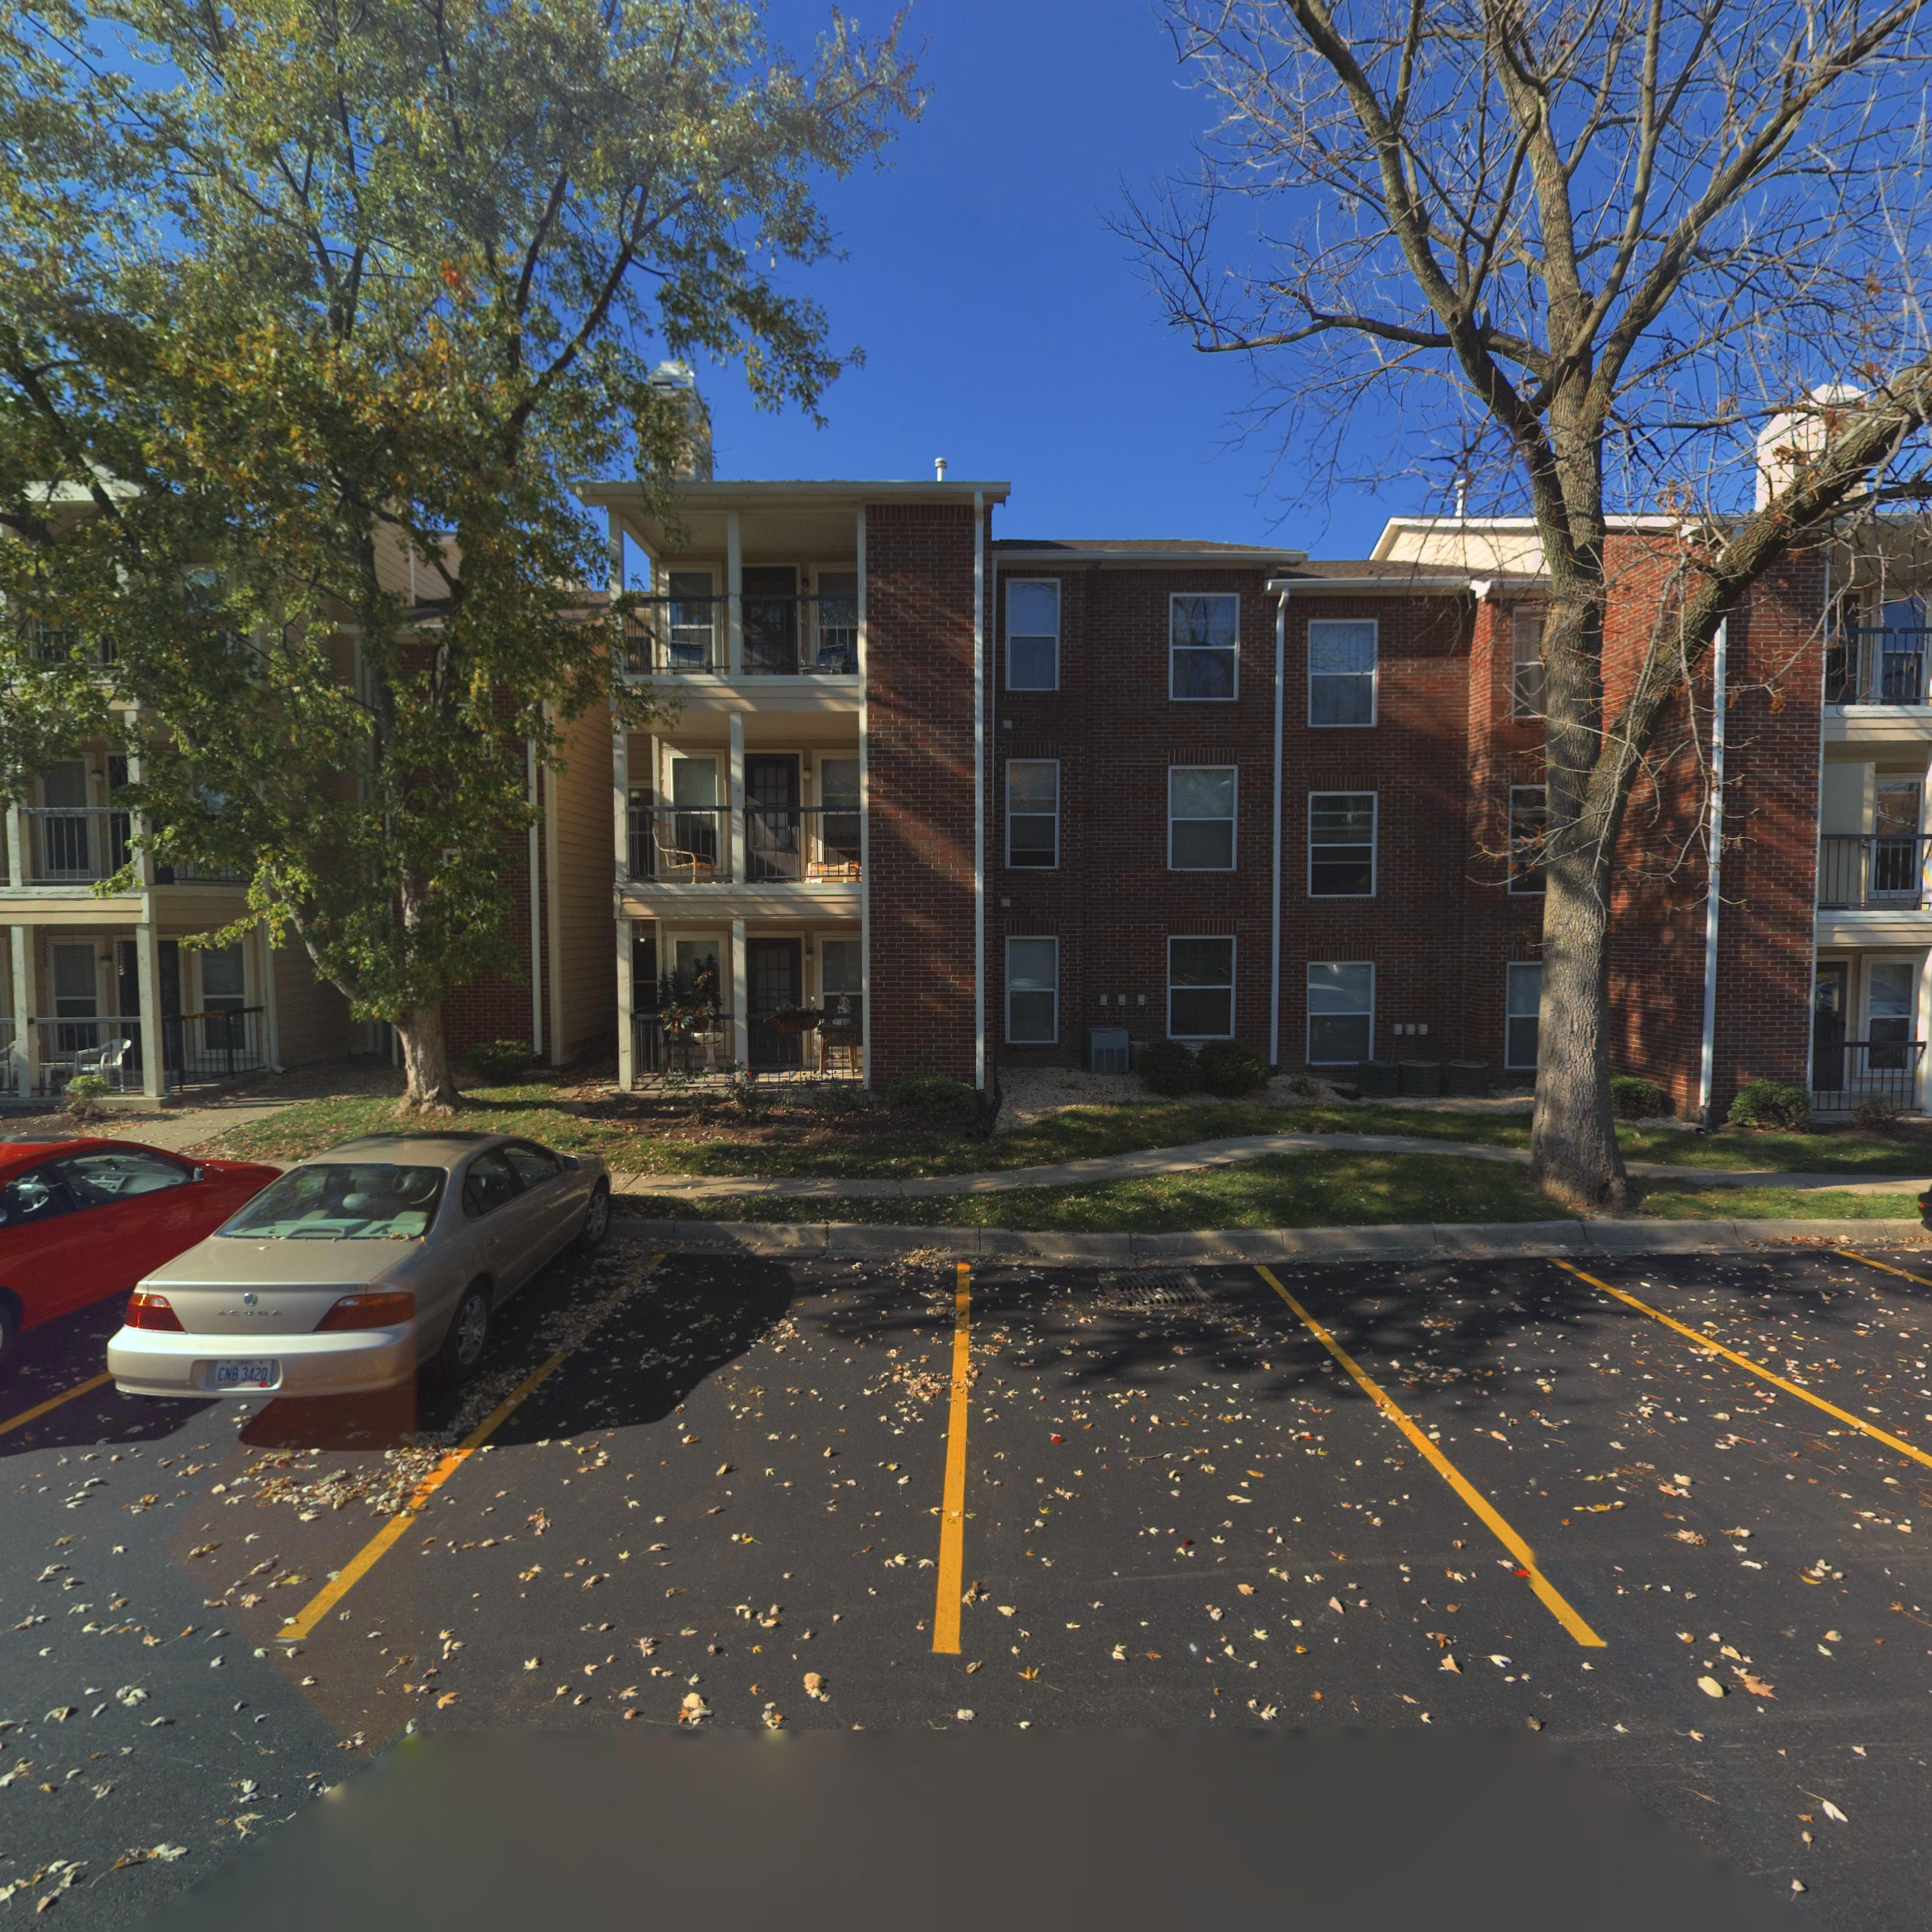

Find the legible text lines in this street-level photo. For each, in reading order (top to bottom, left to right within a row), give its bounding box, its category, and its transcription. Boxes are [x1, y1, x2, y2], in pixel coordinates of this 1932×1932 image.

[215, 1308, 284, 1317] None: ACU*A
[216, 1365, 269, 1383] None: CNB 3420